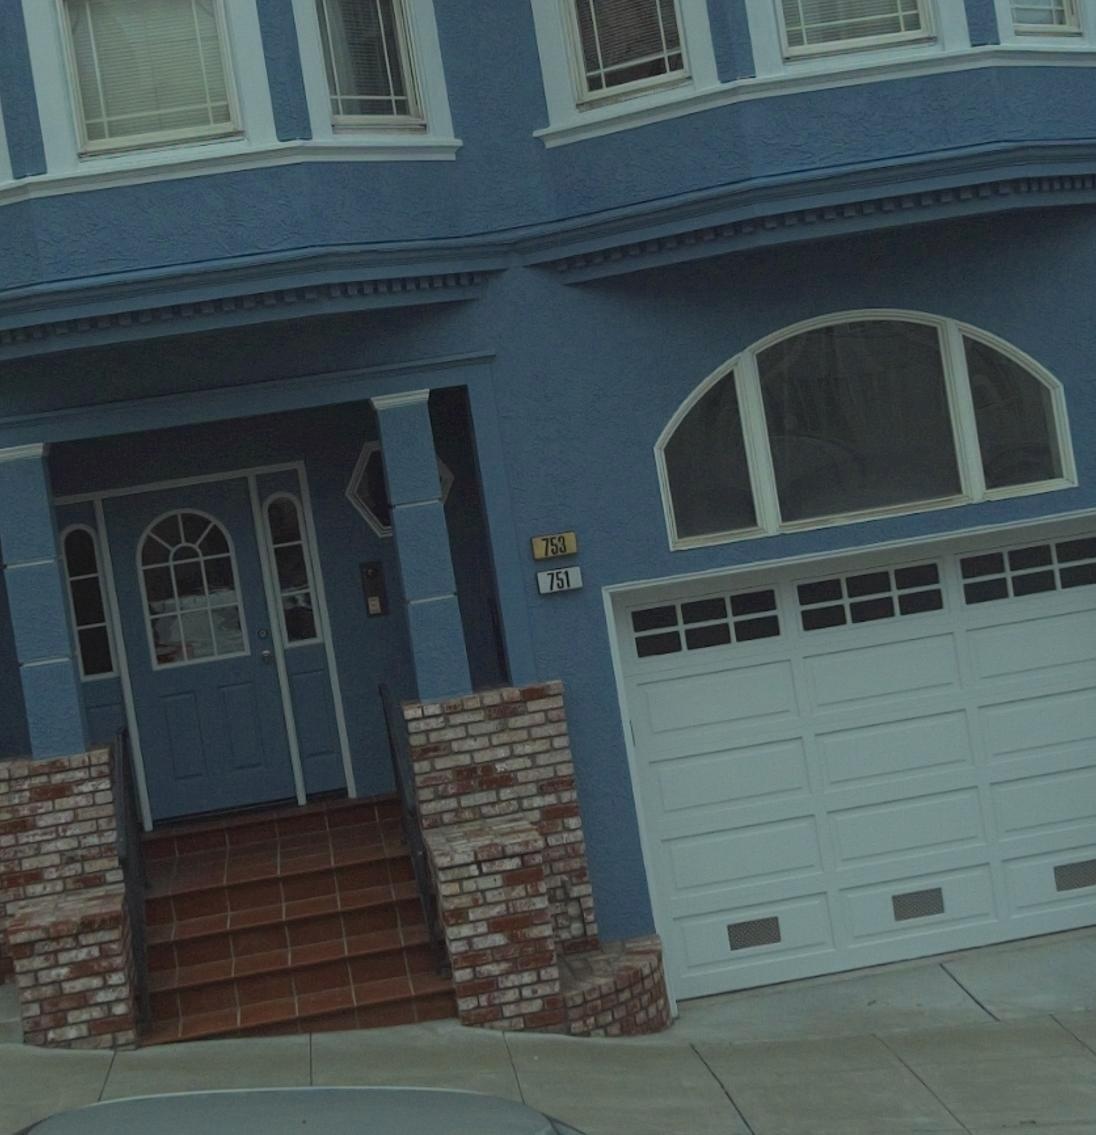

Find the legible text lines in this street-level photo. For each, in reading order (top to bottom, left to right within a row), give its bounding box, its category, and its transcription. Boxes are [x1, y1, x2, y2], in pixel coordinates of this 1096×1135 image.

[539, 533, 568, 558] StreetNumber: 753
[546, 568, 572, 593] StreetNumber: 751